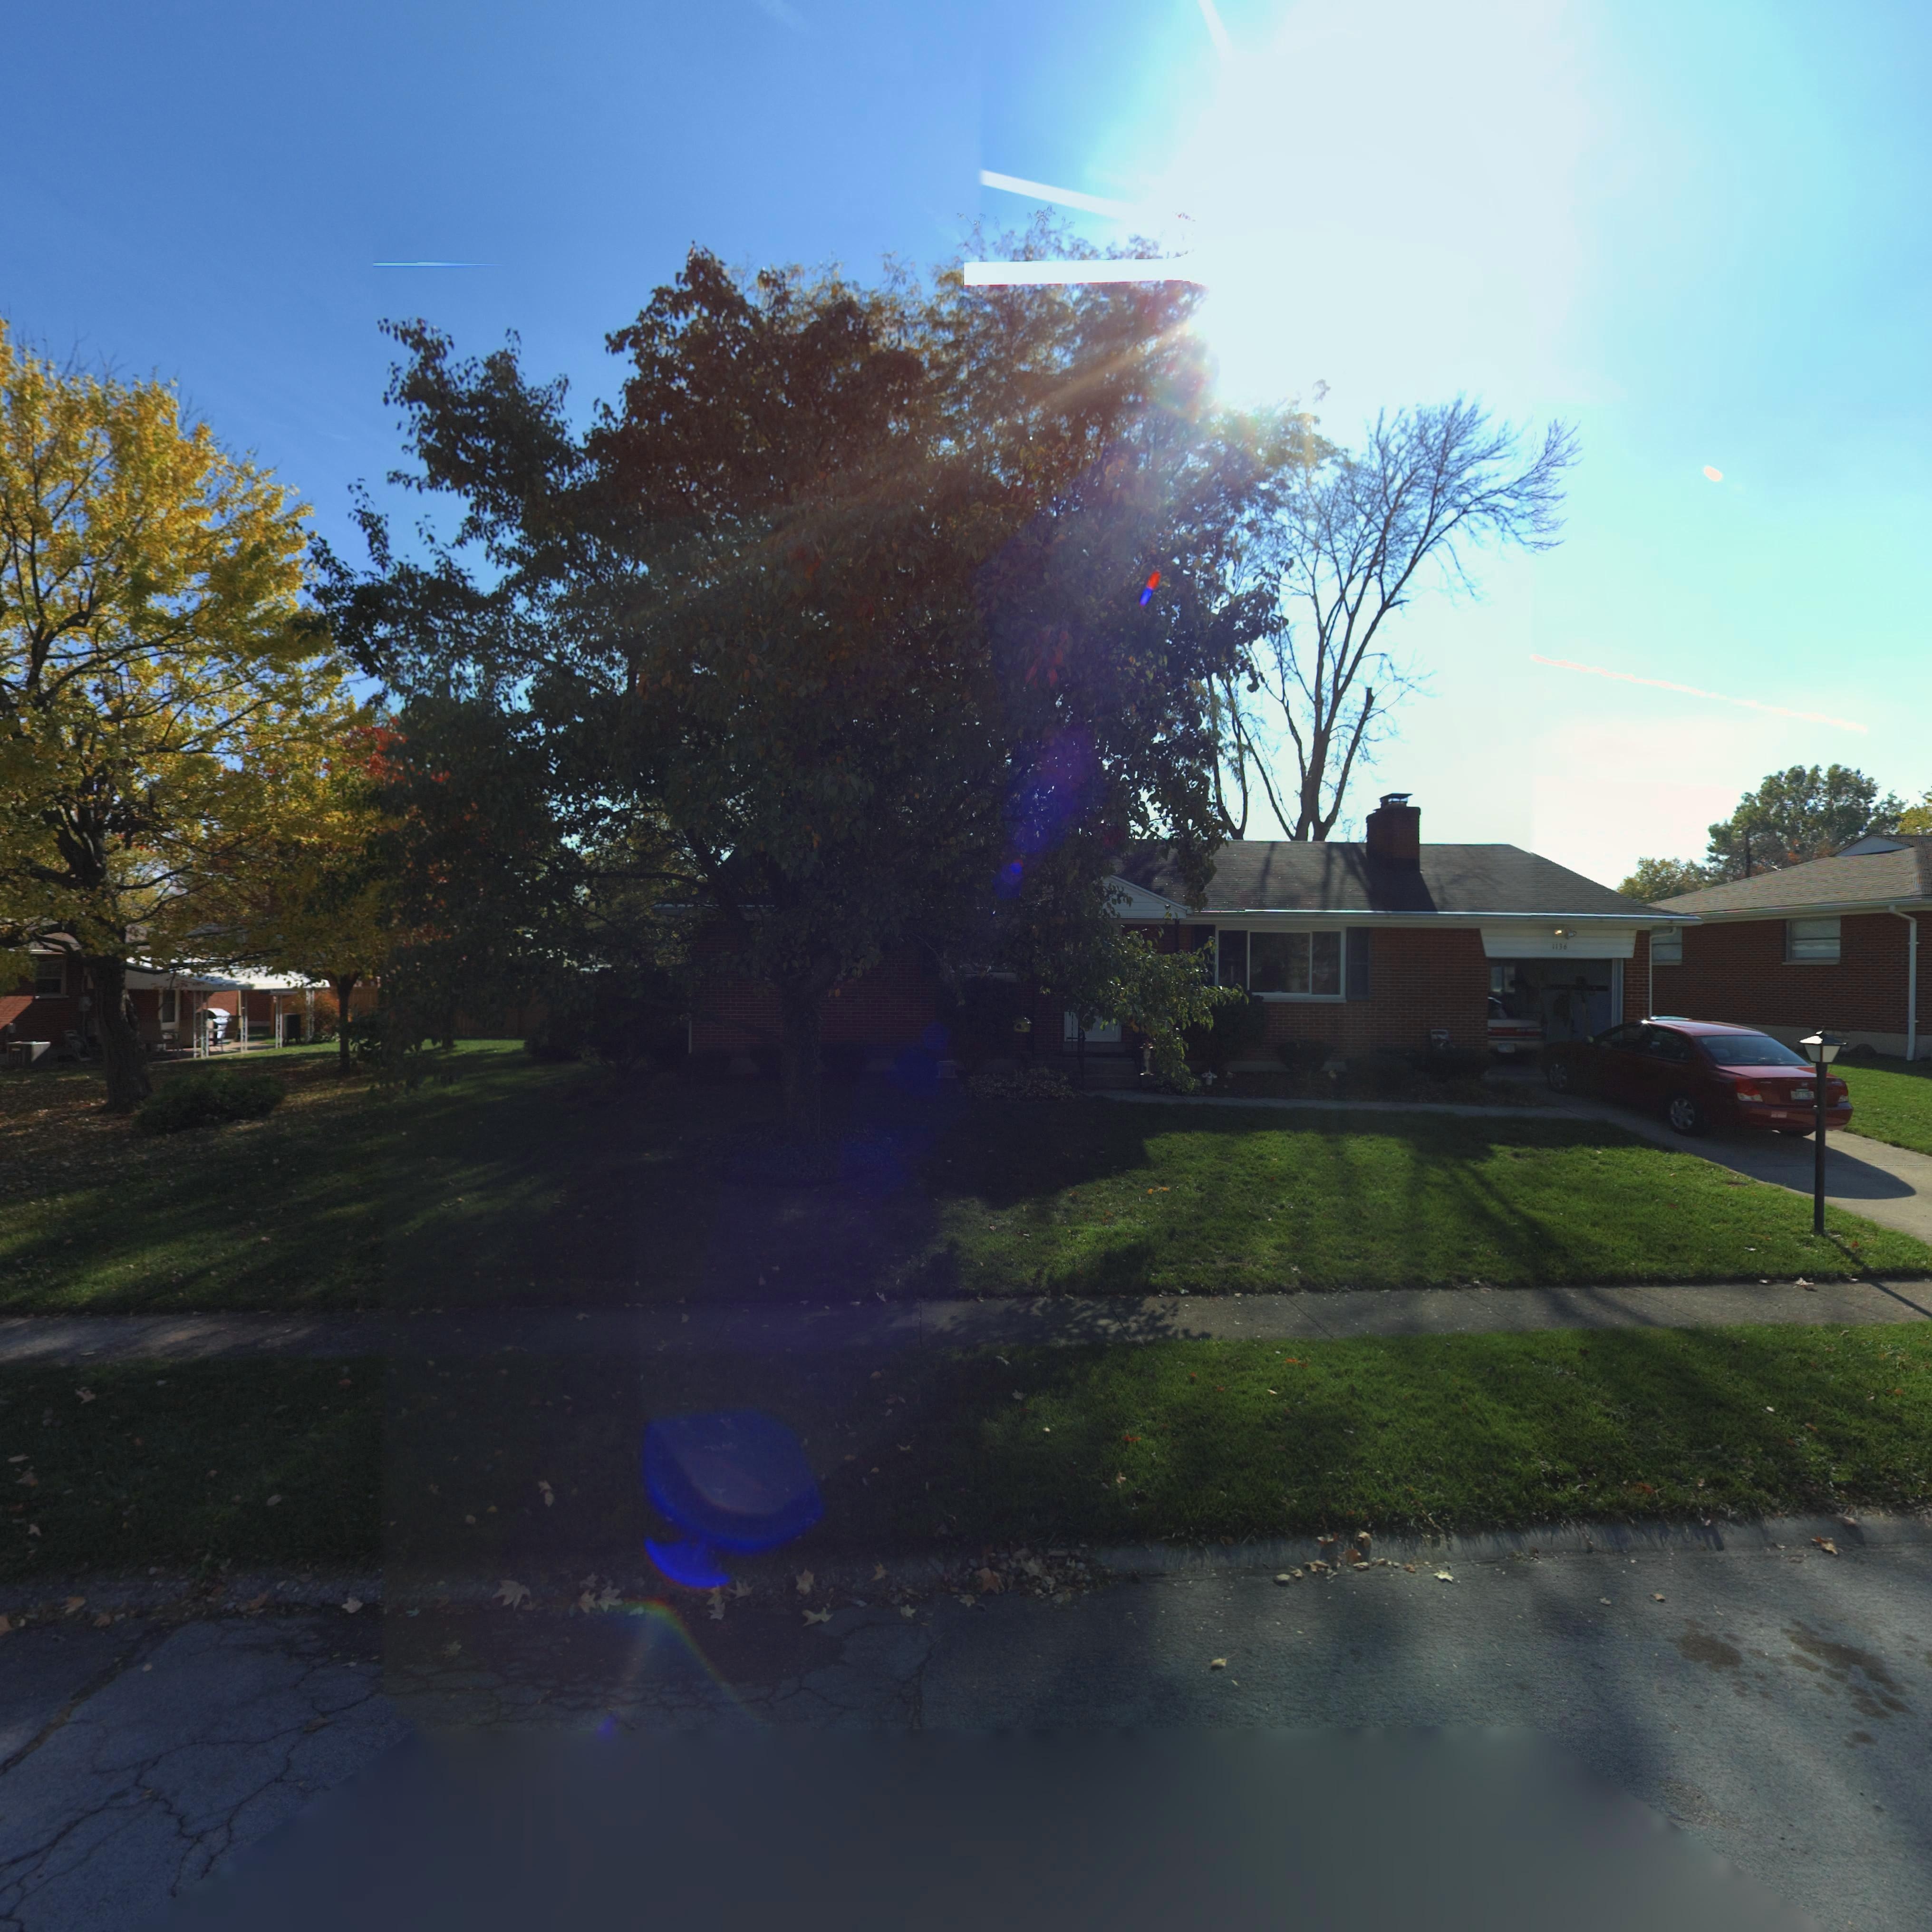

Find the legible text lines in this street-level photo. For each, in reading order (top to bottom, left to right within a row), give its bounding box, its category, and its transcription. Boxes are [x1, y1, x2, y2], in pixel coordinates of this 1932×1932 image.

[1551, 941, 1569, 951] StreetNumber: 1136